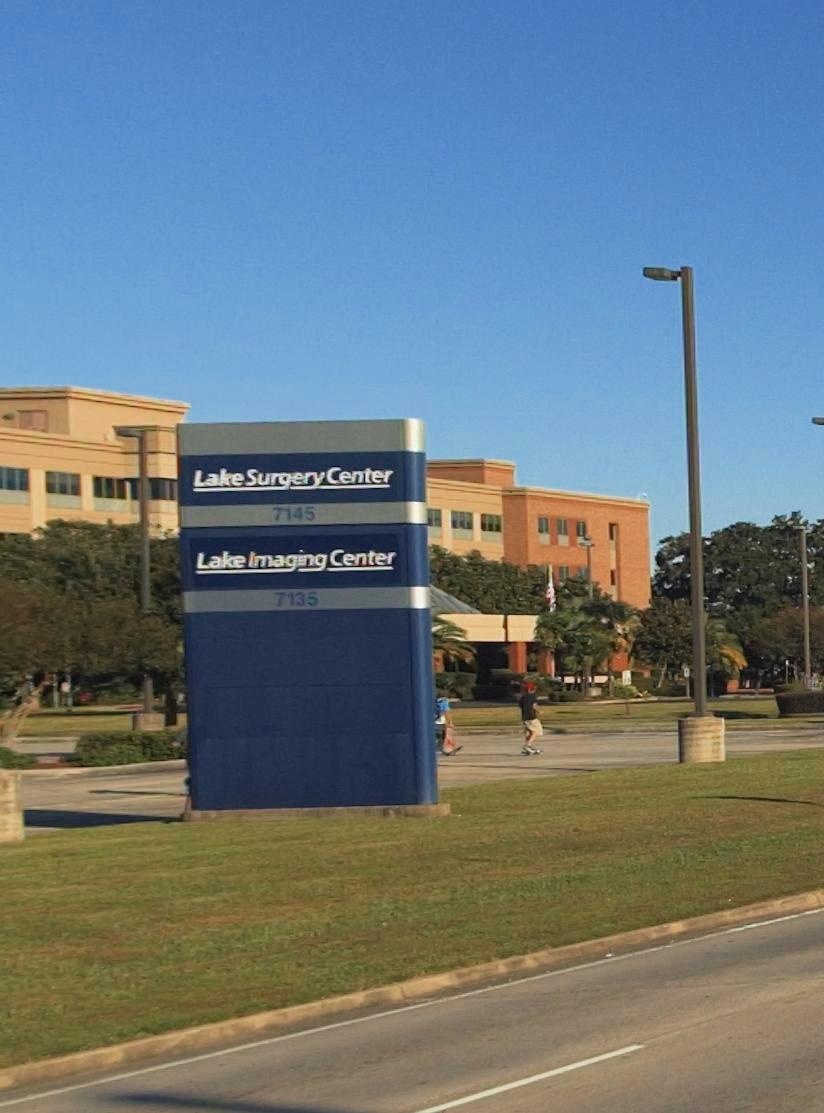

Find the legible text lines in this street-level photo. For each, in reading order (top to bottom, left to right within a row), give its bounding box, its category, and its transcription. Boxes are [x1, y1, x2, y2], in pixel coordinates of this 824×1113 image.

[189, 464, 397, 492] BusinessName: Lake Surgery Center
[269, 503, 319, 524] StreetNumber: 7145
[193, 546, 402, 574] BusinessName: Lake Imaging Center
[272, 589, 321, 609] StreetNumber: 7135